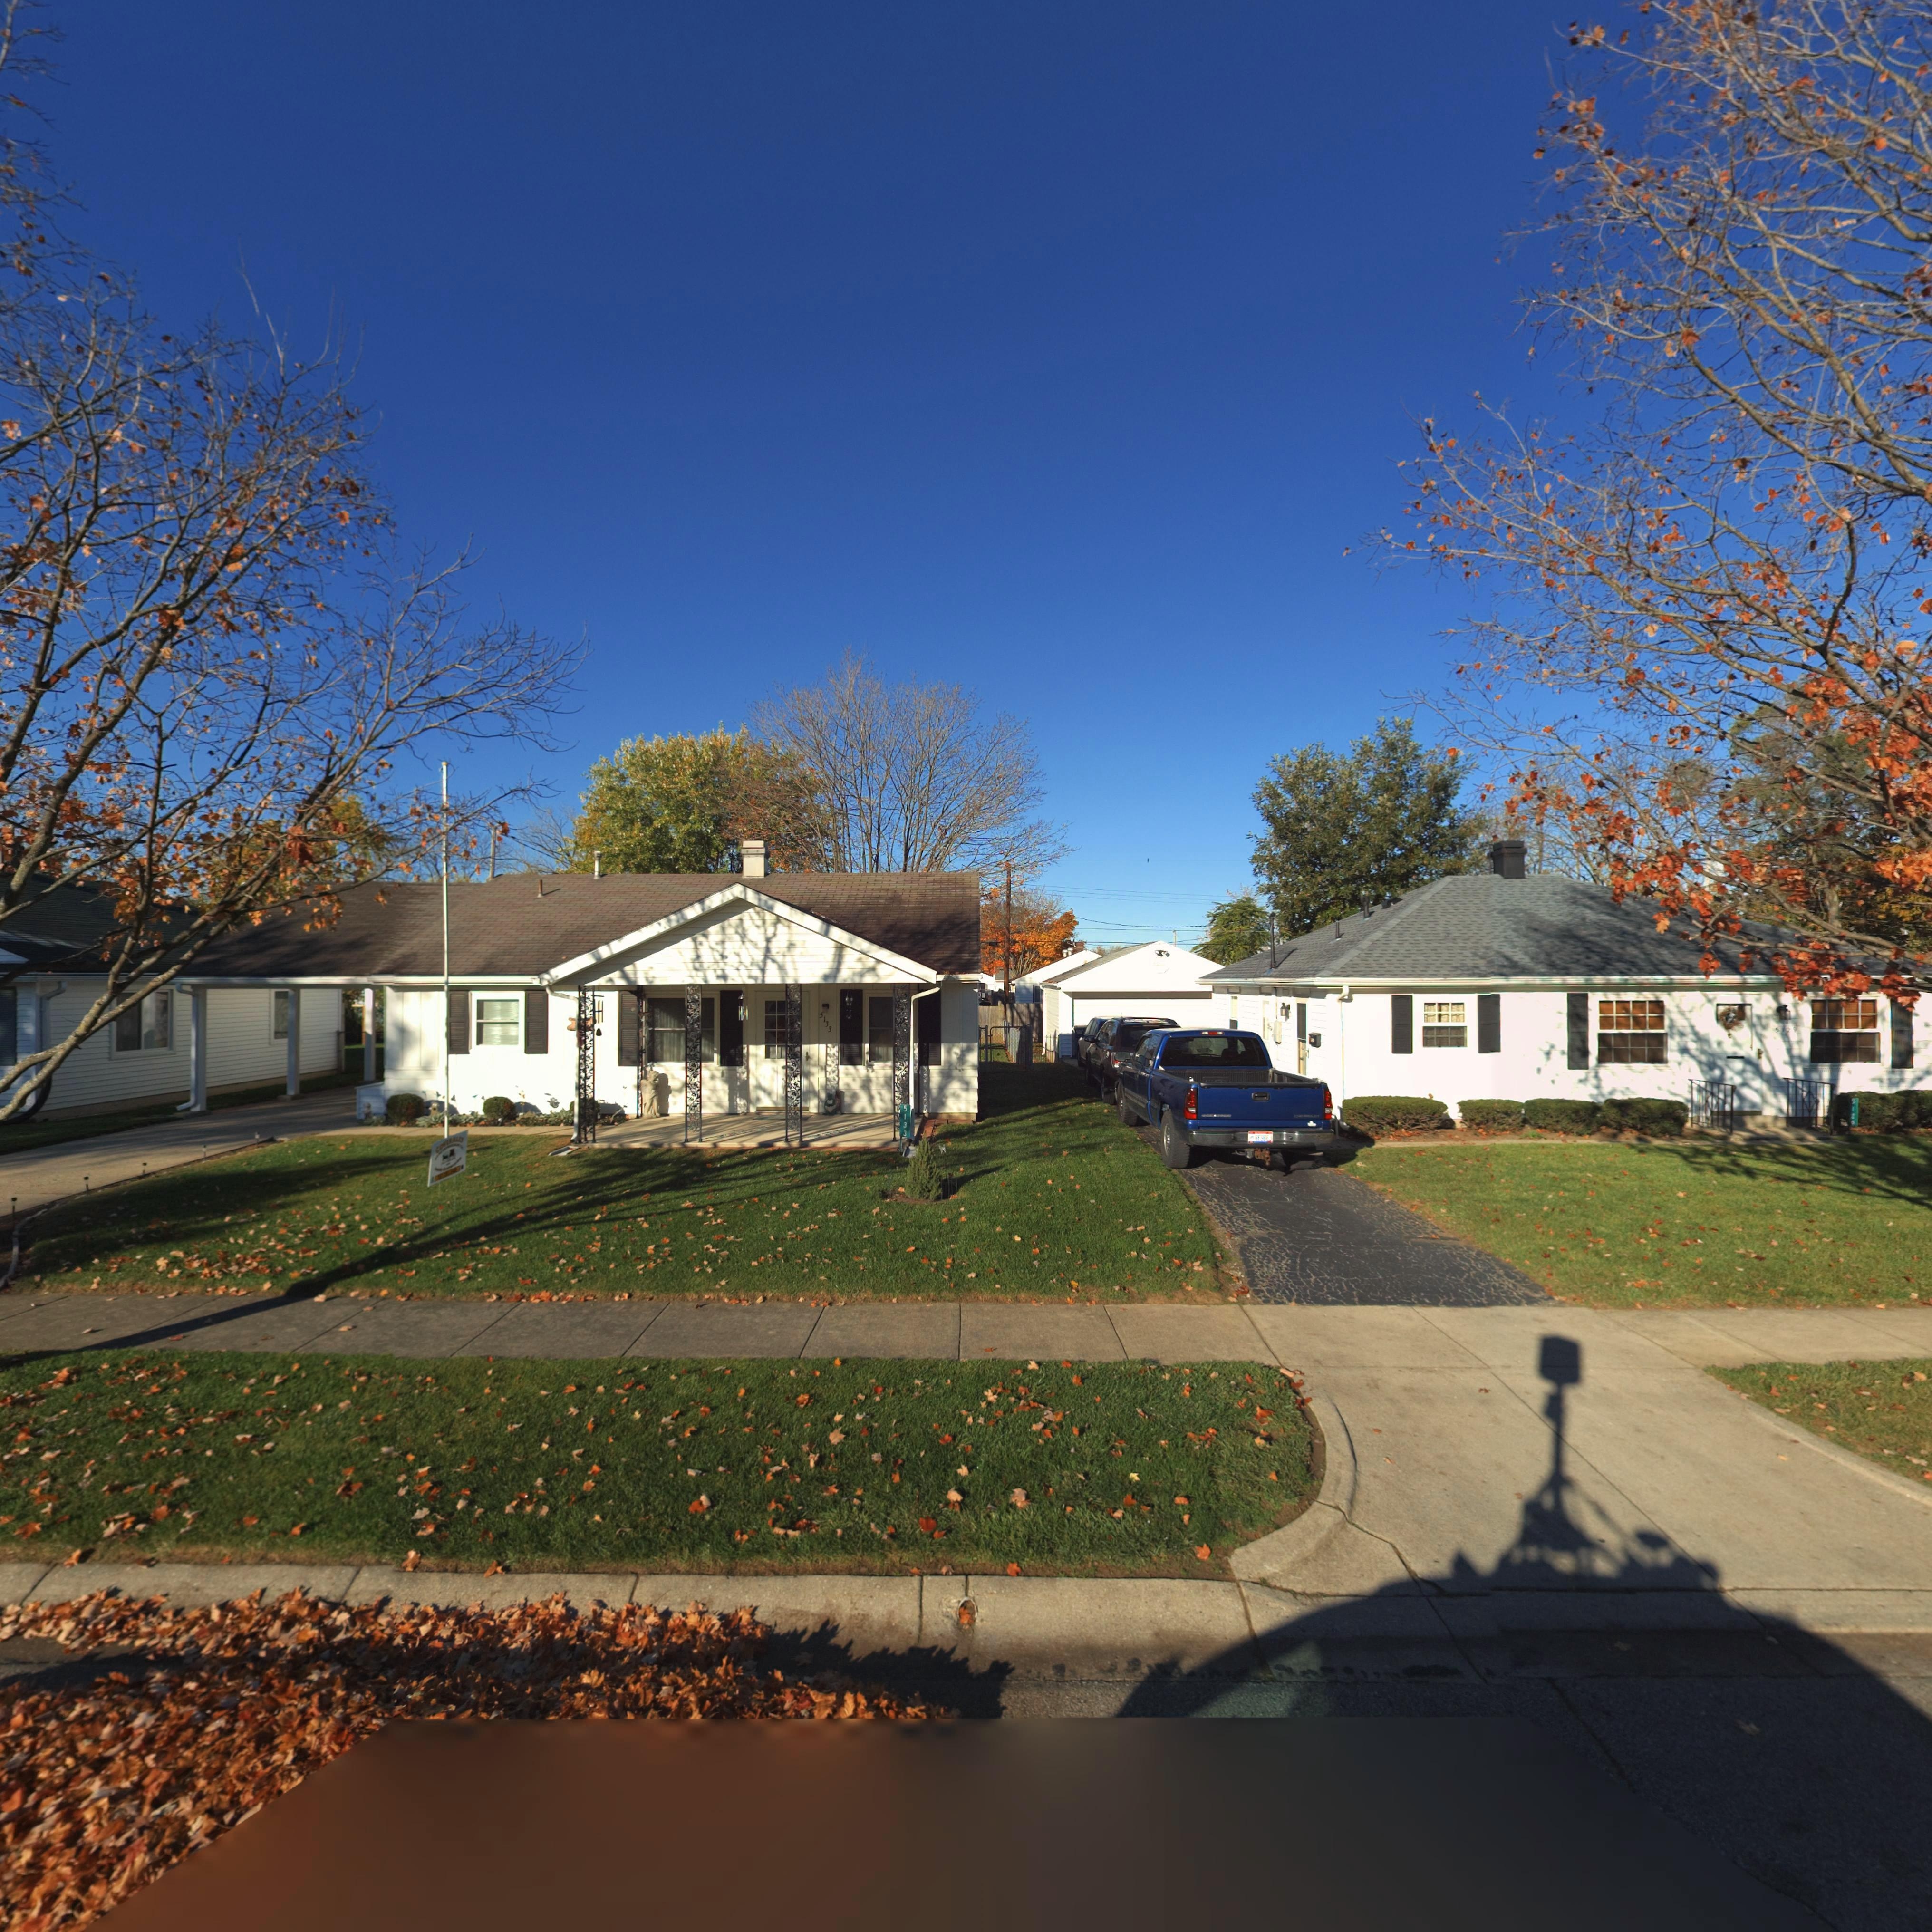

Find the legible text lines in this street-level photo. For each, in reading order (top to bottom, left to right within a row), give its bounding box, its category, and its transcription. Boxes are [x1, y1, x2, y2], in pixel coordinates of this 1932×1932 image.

[819, 1012, 832, 1033] StreetNumber: 5133
[1775, 1026, 1797, 1033] StreetNumber: 5129